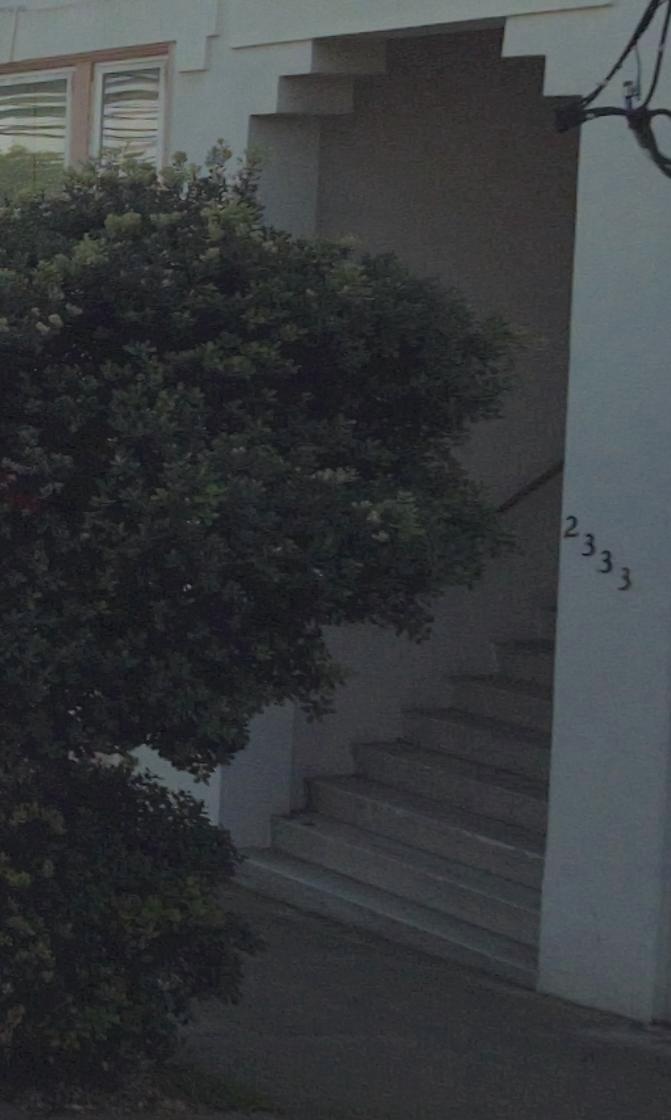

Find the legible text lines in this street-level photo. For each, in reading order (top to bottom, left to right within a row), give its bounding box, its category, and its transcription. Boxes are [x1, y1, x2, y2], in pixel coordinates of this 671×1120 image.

[560, 512, 635, 594] StreetNumber: 2333